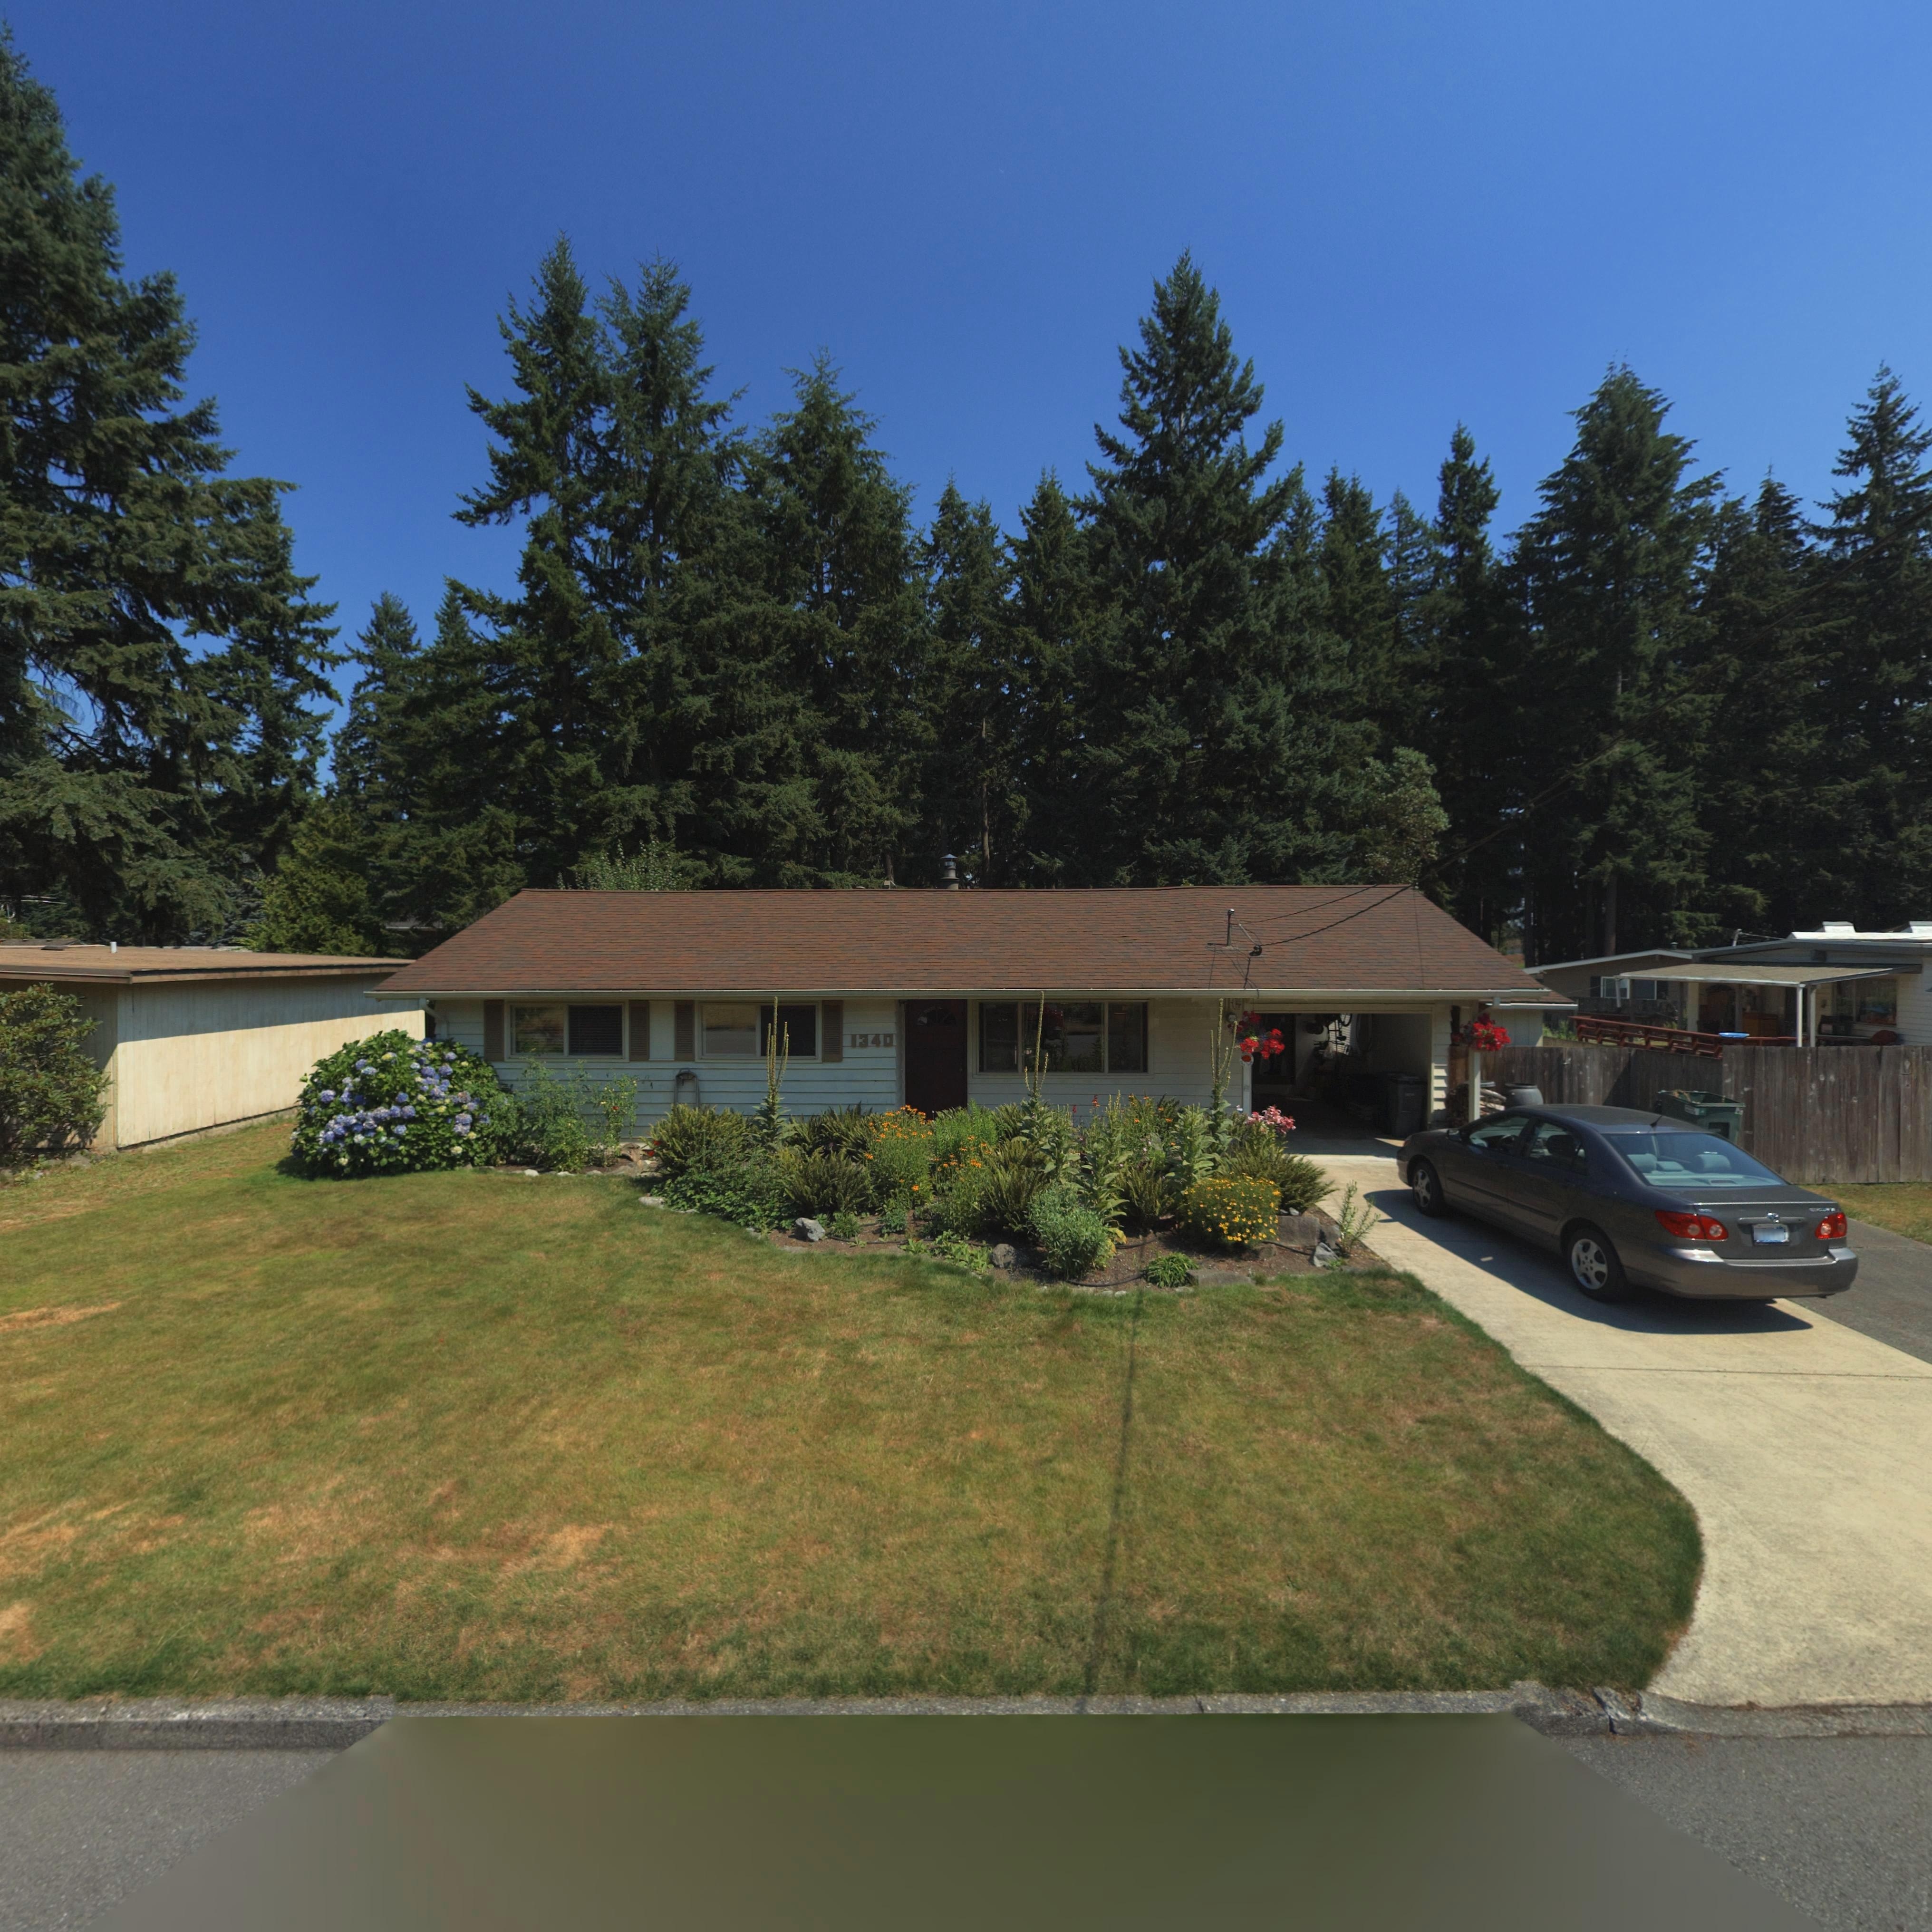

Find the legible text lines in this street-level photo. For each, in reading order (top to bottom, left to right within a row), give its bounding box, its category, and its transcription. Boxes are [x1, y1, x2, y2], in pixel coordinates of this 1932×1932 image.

[850, 1033, 894, 1048] StreetNumber: 1340